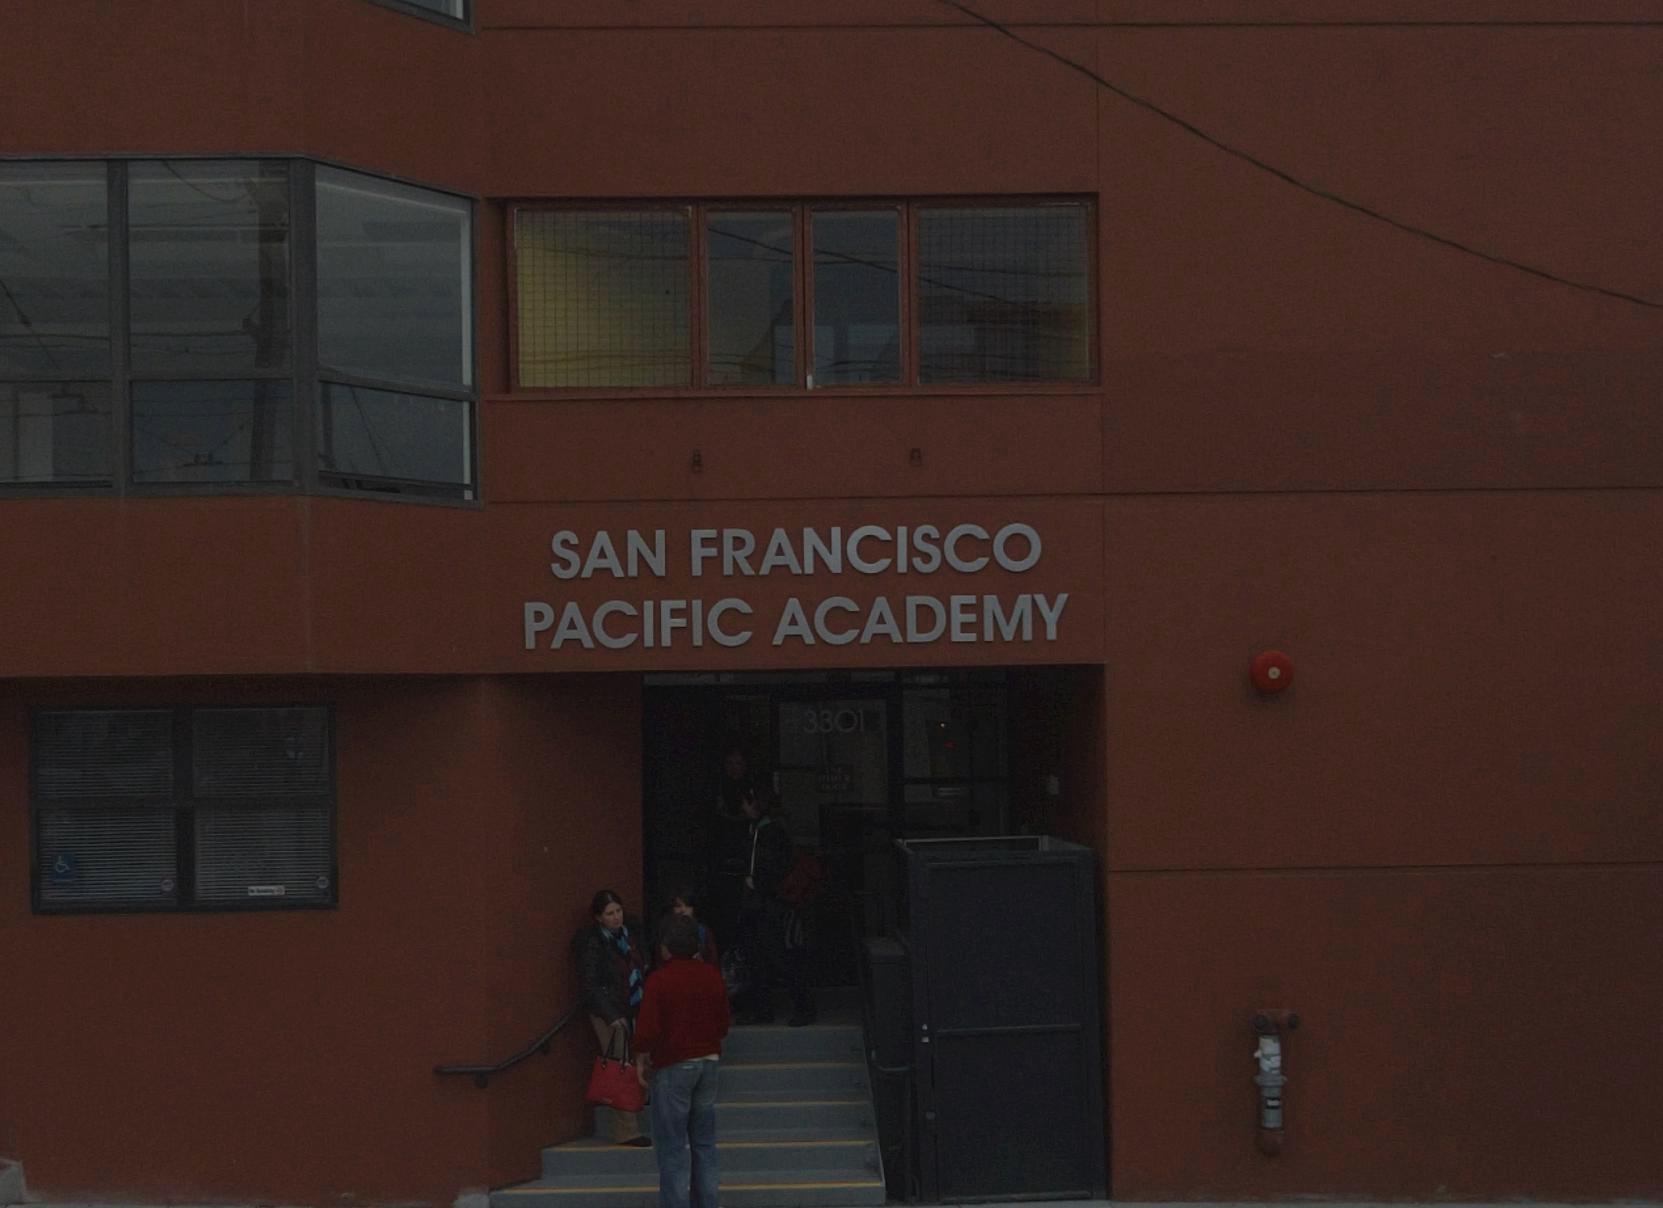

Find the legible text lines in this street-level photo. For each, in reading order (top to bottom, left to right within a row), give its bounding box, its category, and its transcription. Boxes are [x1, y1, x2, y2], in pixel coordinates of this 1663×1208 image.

[546, 519, 1051, 585] BusinessName: SAN FRANCISCO
[518, 589, 1073, 654] BusinessName: PACIFIC ACADEMY
[802, 707, 868, 737] StreetNumber: 3301
[248, 886, 276, 895] None: No Smoking